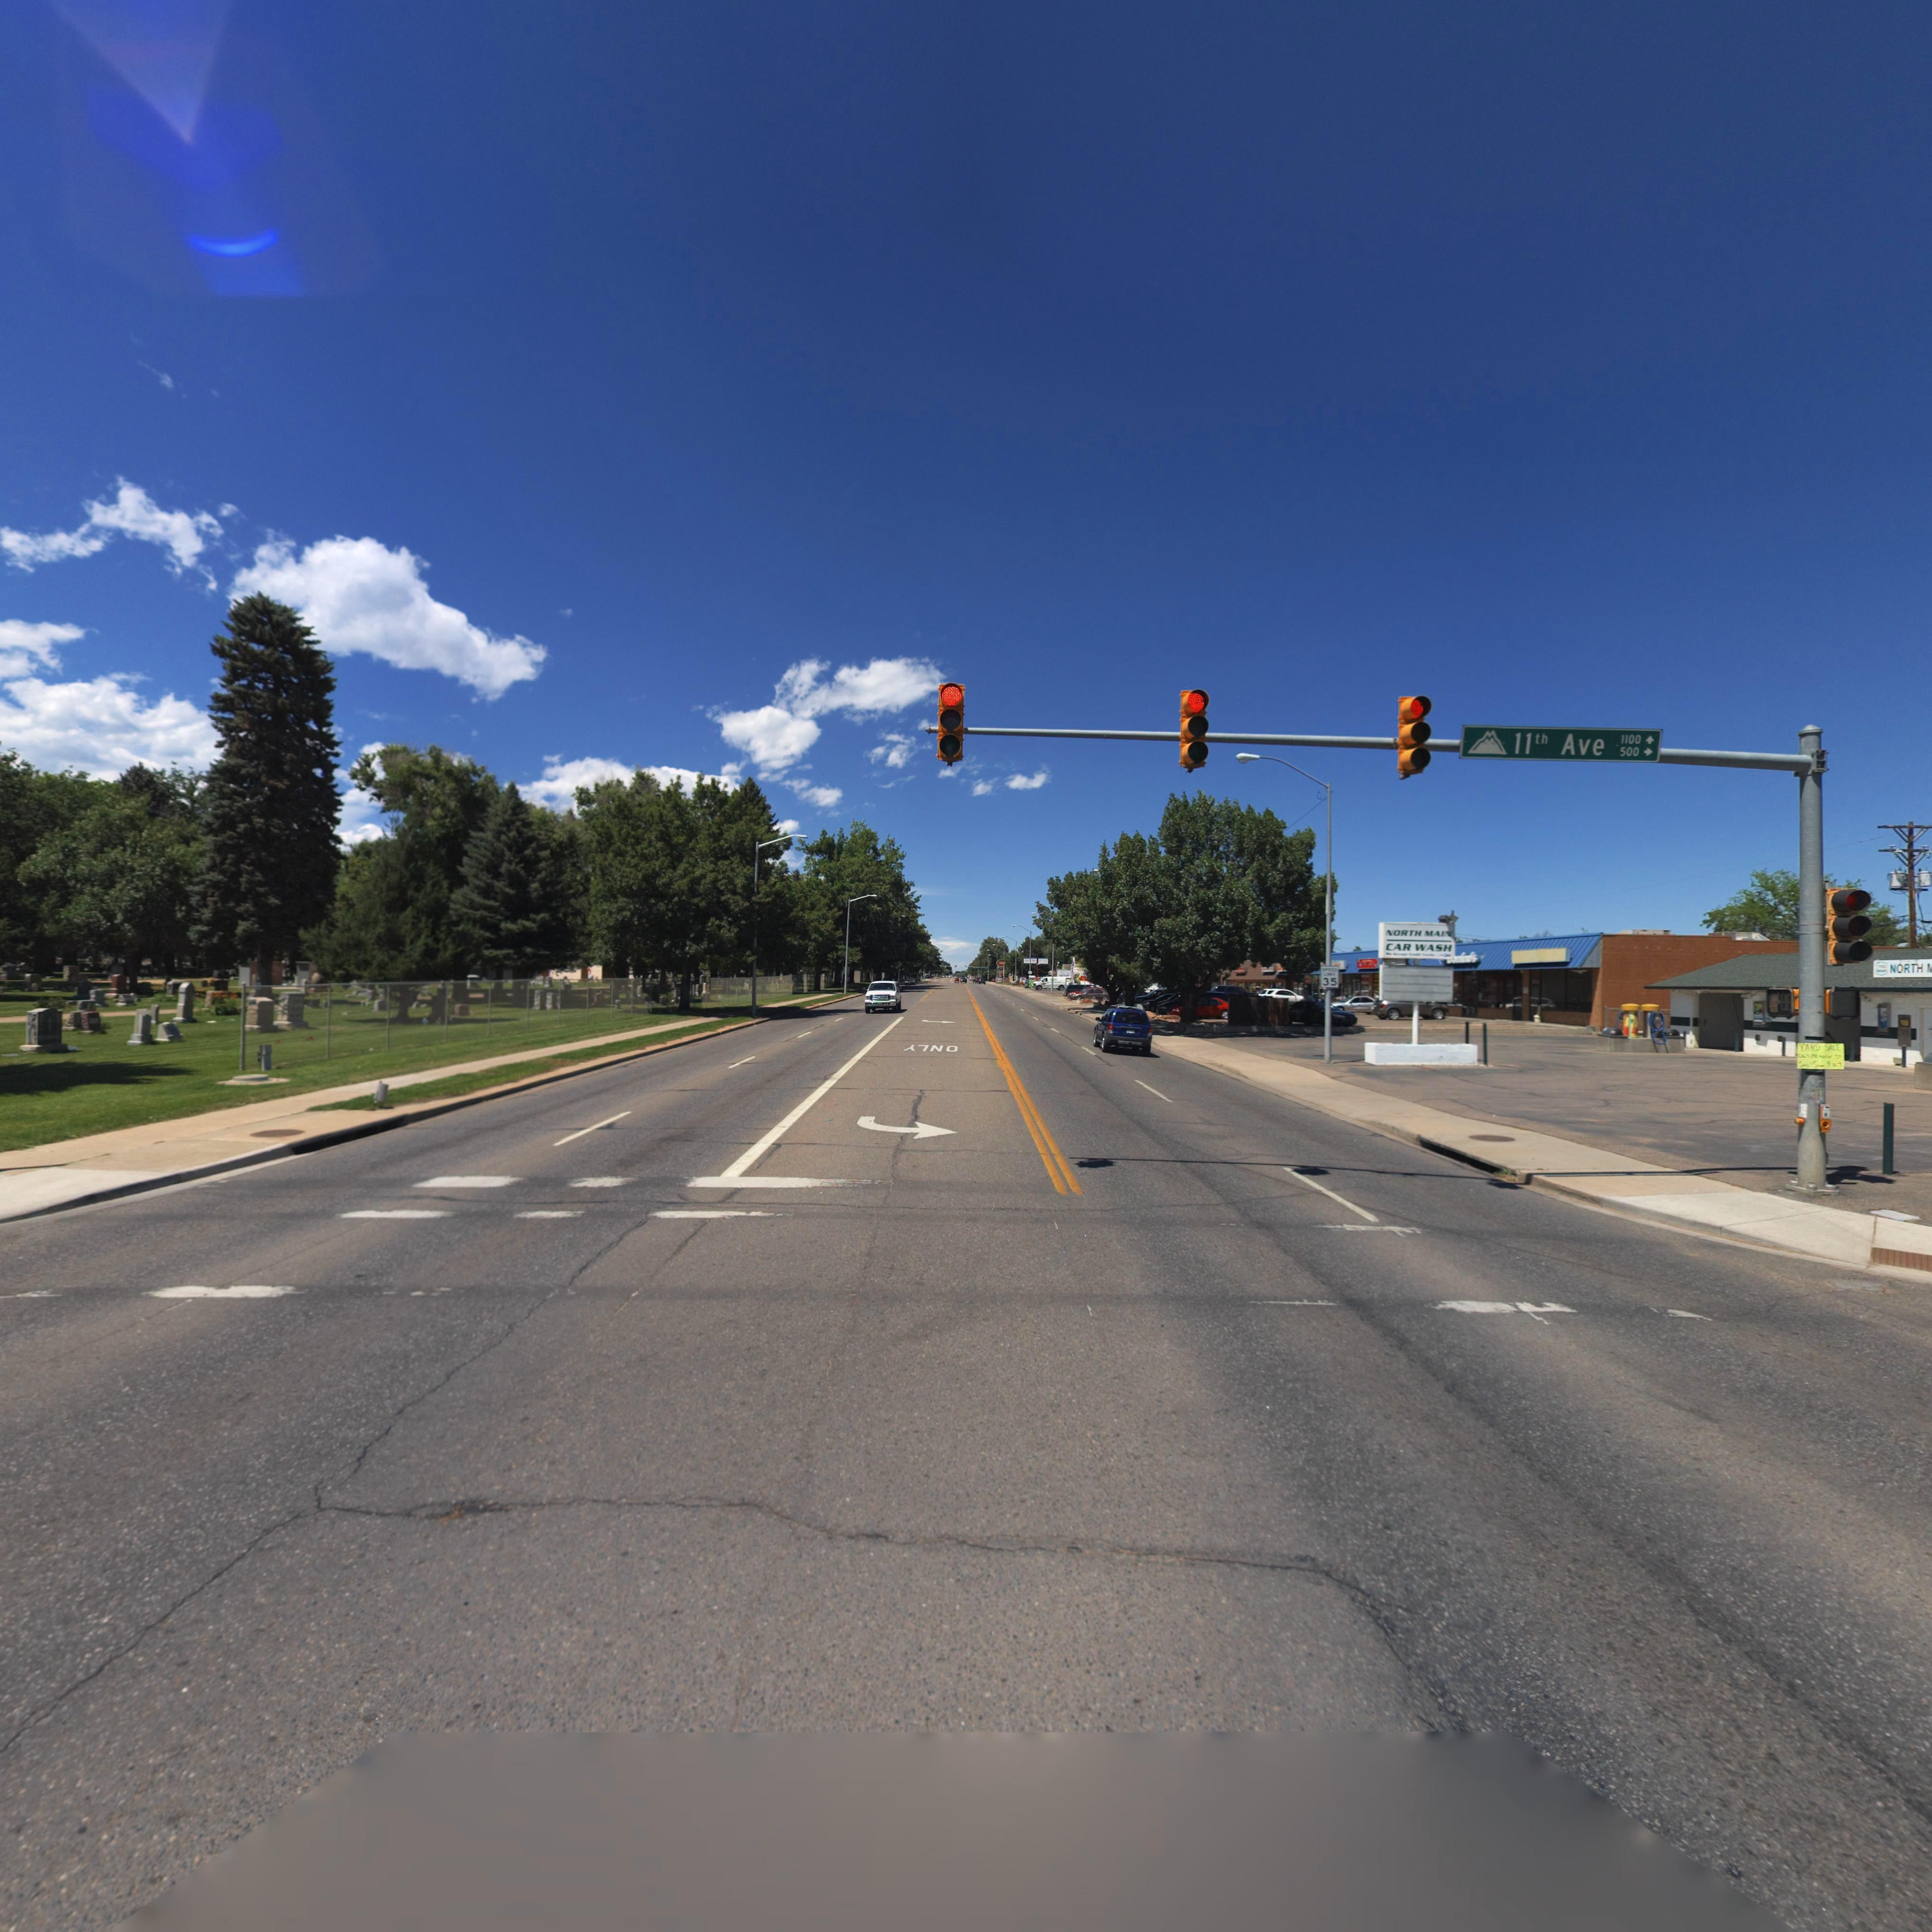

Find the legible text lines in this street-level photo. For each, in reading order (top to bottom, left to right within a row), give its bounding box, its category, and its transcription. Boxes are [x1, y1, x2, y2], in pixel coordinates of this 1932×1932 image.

[1513, 731, 1605, 757] StreetName: 11th Ave
[1620, 734, 1642, 744] StreetNumberRange: 1100
[1620, 746, 1653, 757] StreetNumberRange: 500->
[1384, 928, 1453, 937] BusinessName: NORTH MAIN
[1385, 943, 1453, 952] BusinessName: CAR WASH
[1446, 951, 1479, 964] BusinessName: *******s
[1889, 963, 1923, 974] BusinessName: NORTH